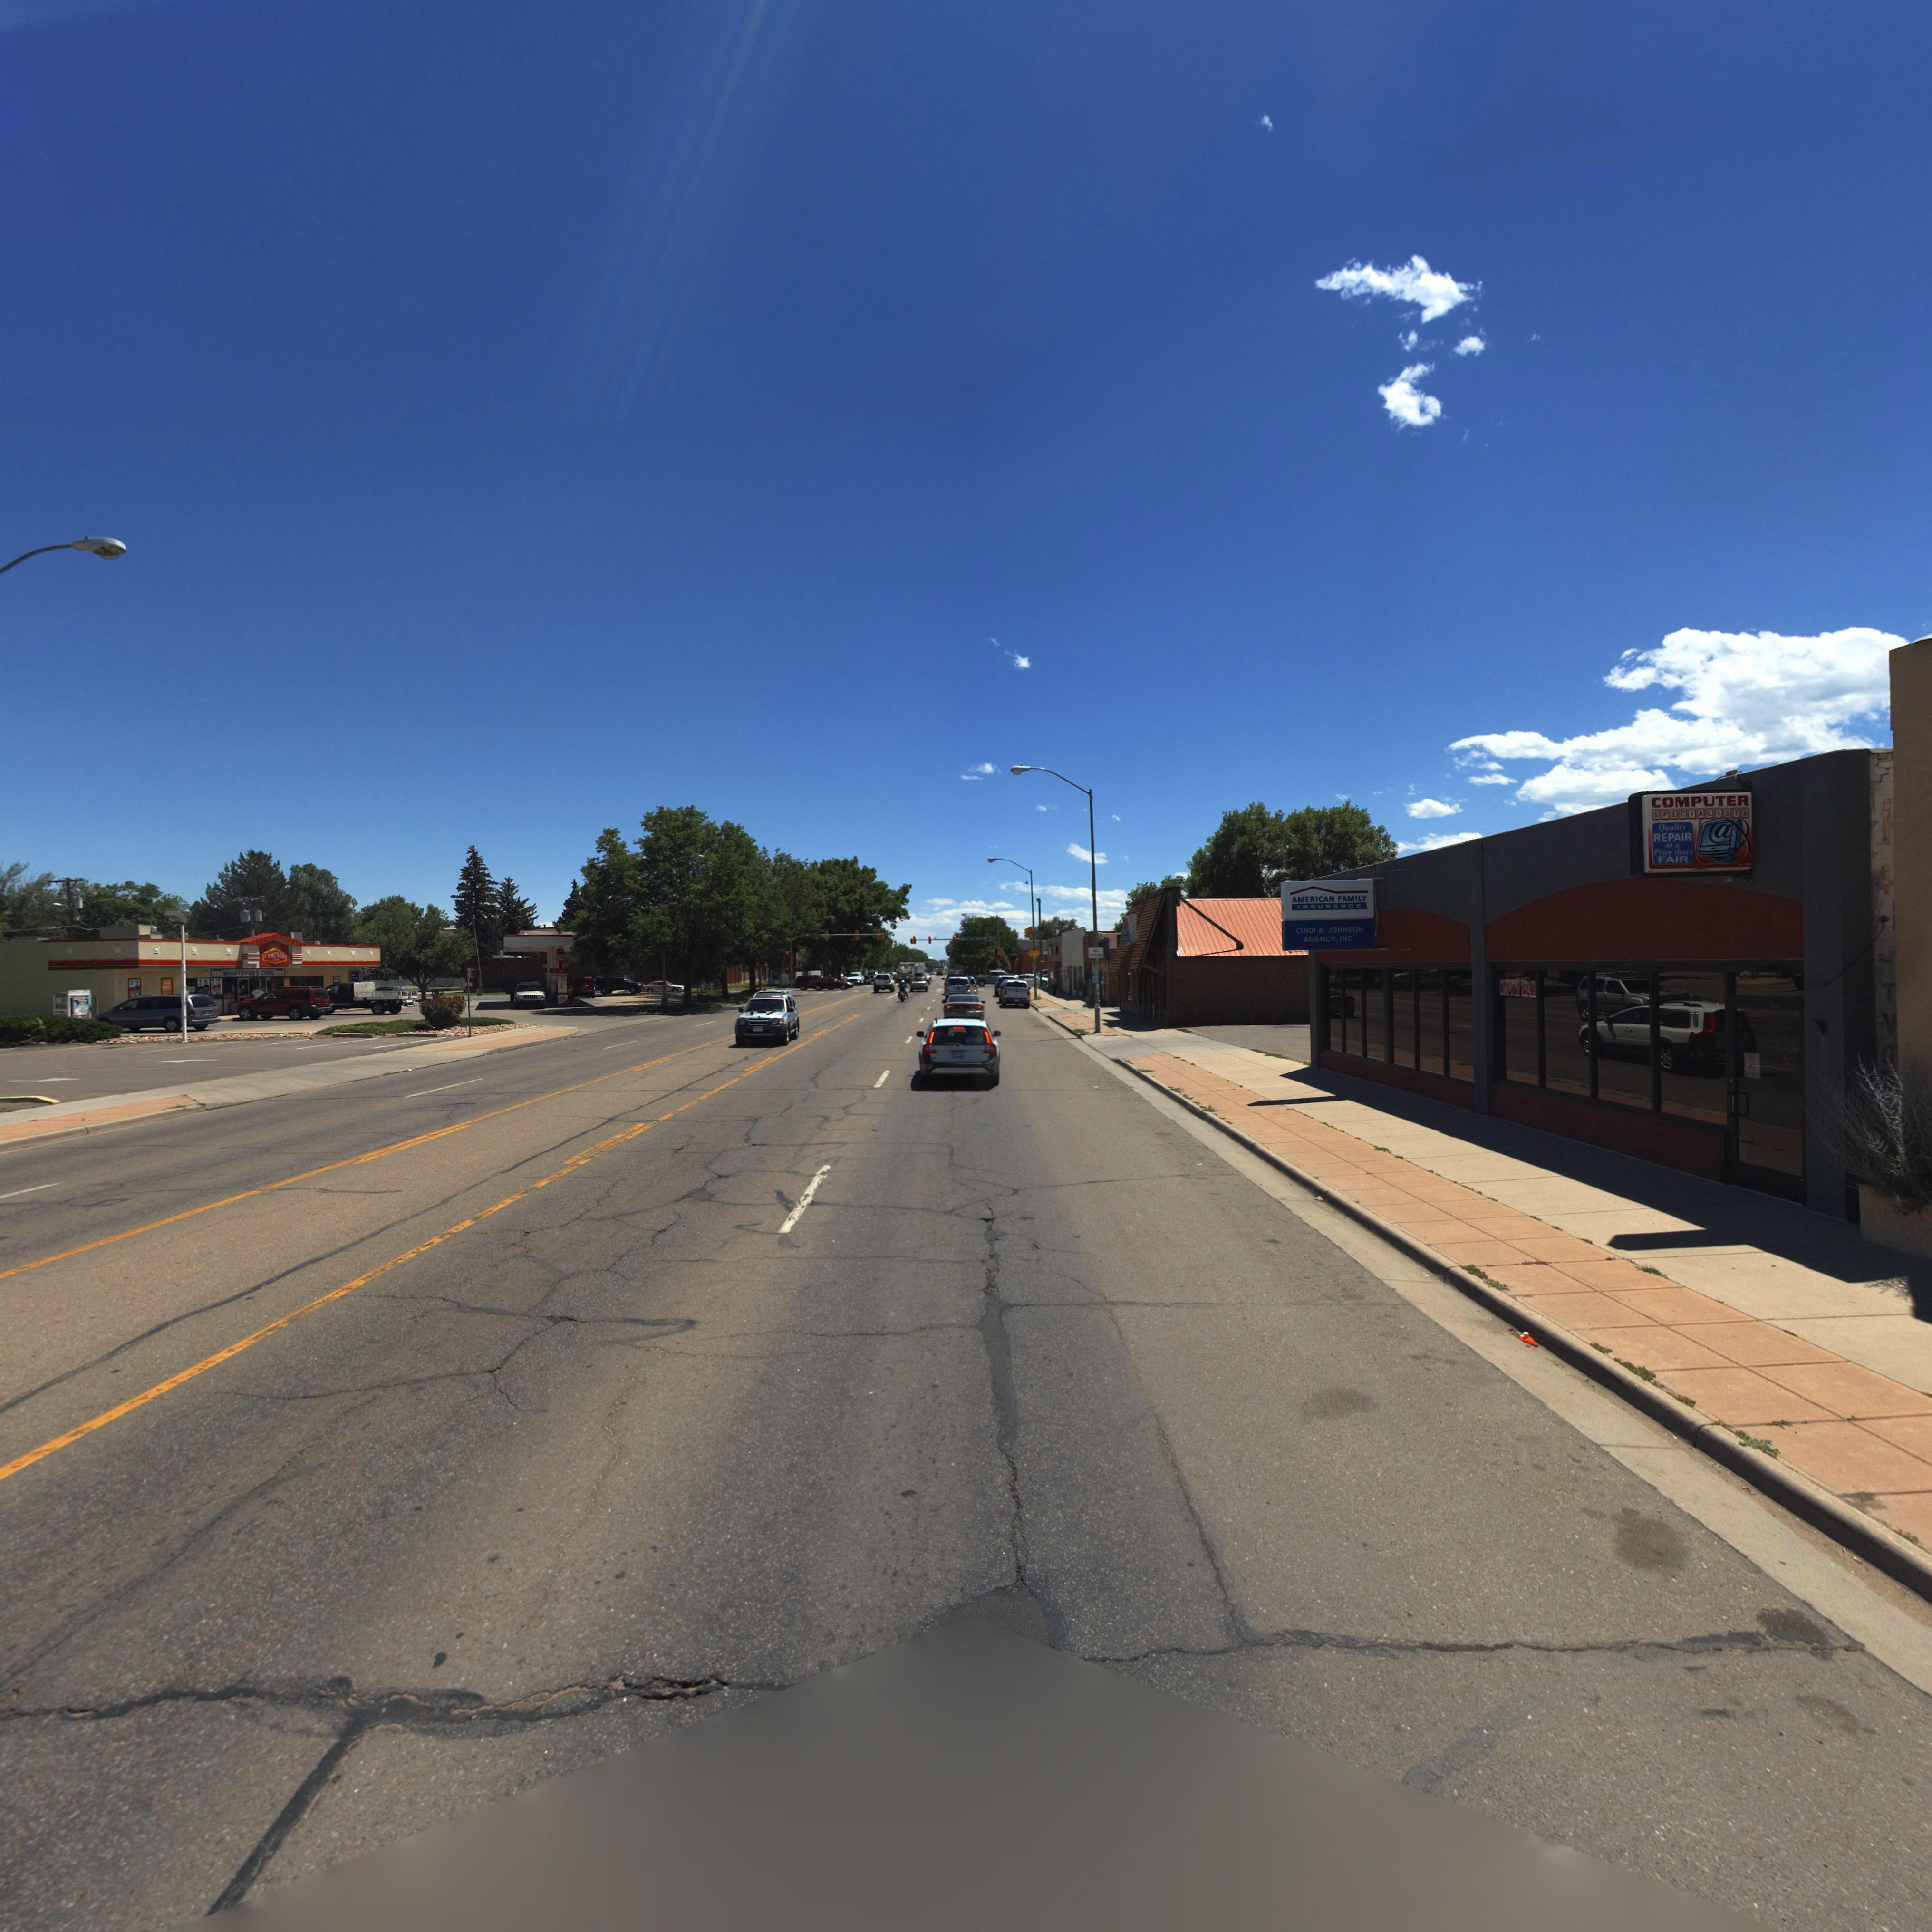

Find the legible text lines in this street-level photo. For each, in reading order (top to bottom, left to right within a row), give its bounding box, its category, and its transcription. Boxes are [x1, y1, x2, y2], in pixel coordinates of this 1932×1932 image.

[1292, 895, 1367, 903] BusinessName: AMERICAN FAMILY
[1297, 903, 1361, 909] BusinessName: INSURANCE
[263, 951, 286, 959] BusinessName: CO*NER